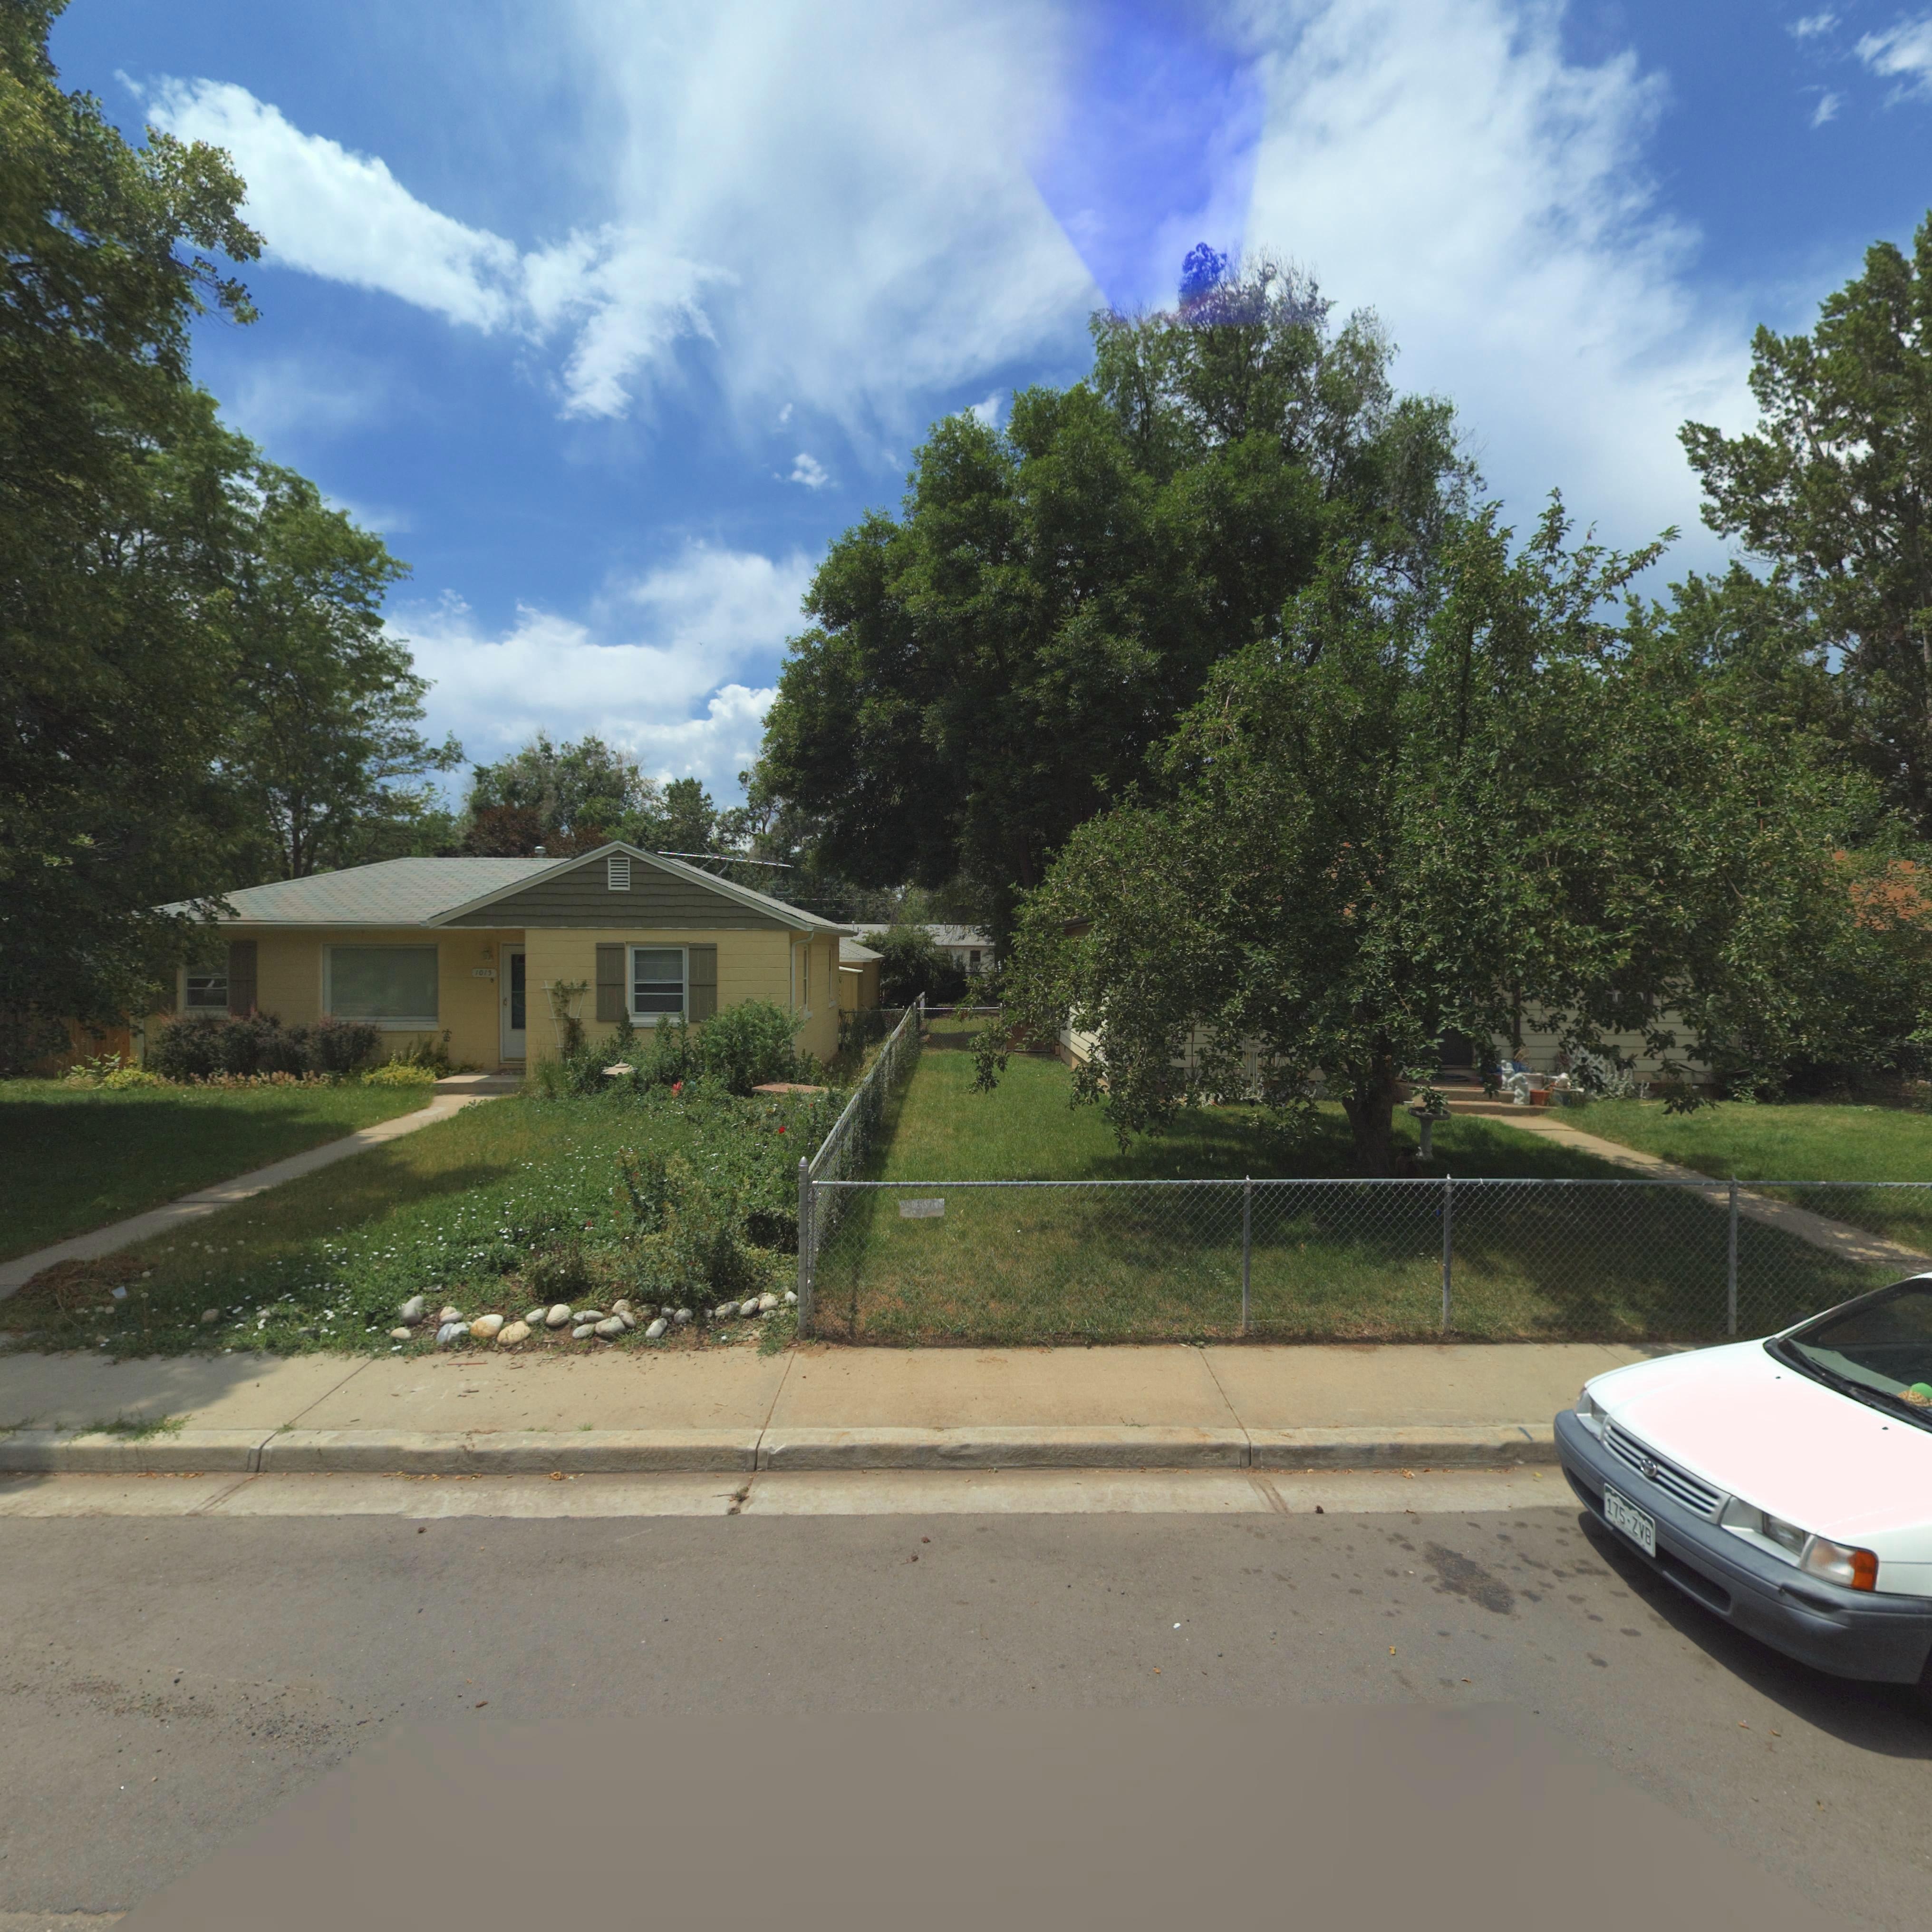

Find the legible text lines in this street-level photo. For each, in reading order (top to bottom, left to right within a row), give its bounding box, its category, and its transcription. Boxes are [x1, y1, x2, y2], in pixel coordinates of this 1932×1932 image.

[475, 969, 492, 976] StreetNumber: 1015